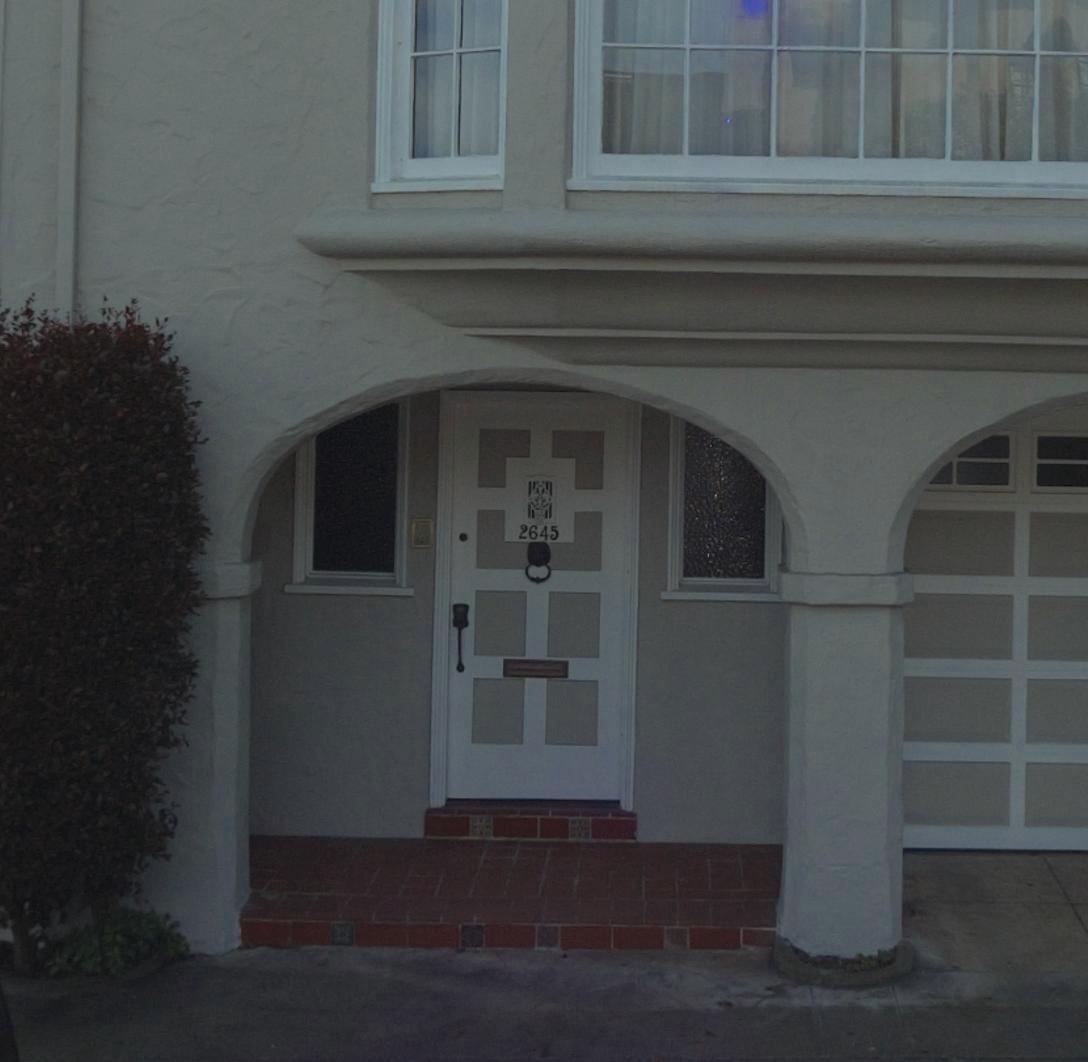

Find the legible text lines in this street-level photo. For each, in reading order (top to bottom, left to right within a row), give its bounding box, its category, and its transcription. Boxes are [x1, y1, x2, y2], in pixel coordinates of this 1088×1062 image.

[516, 521, 562, 544] StreetNumber: 2645